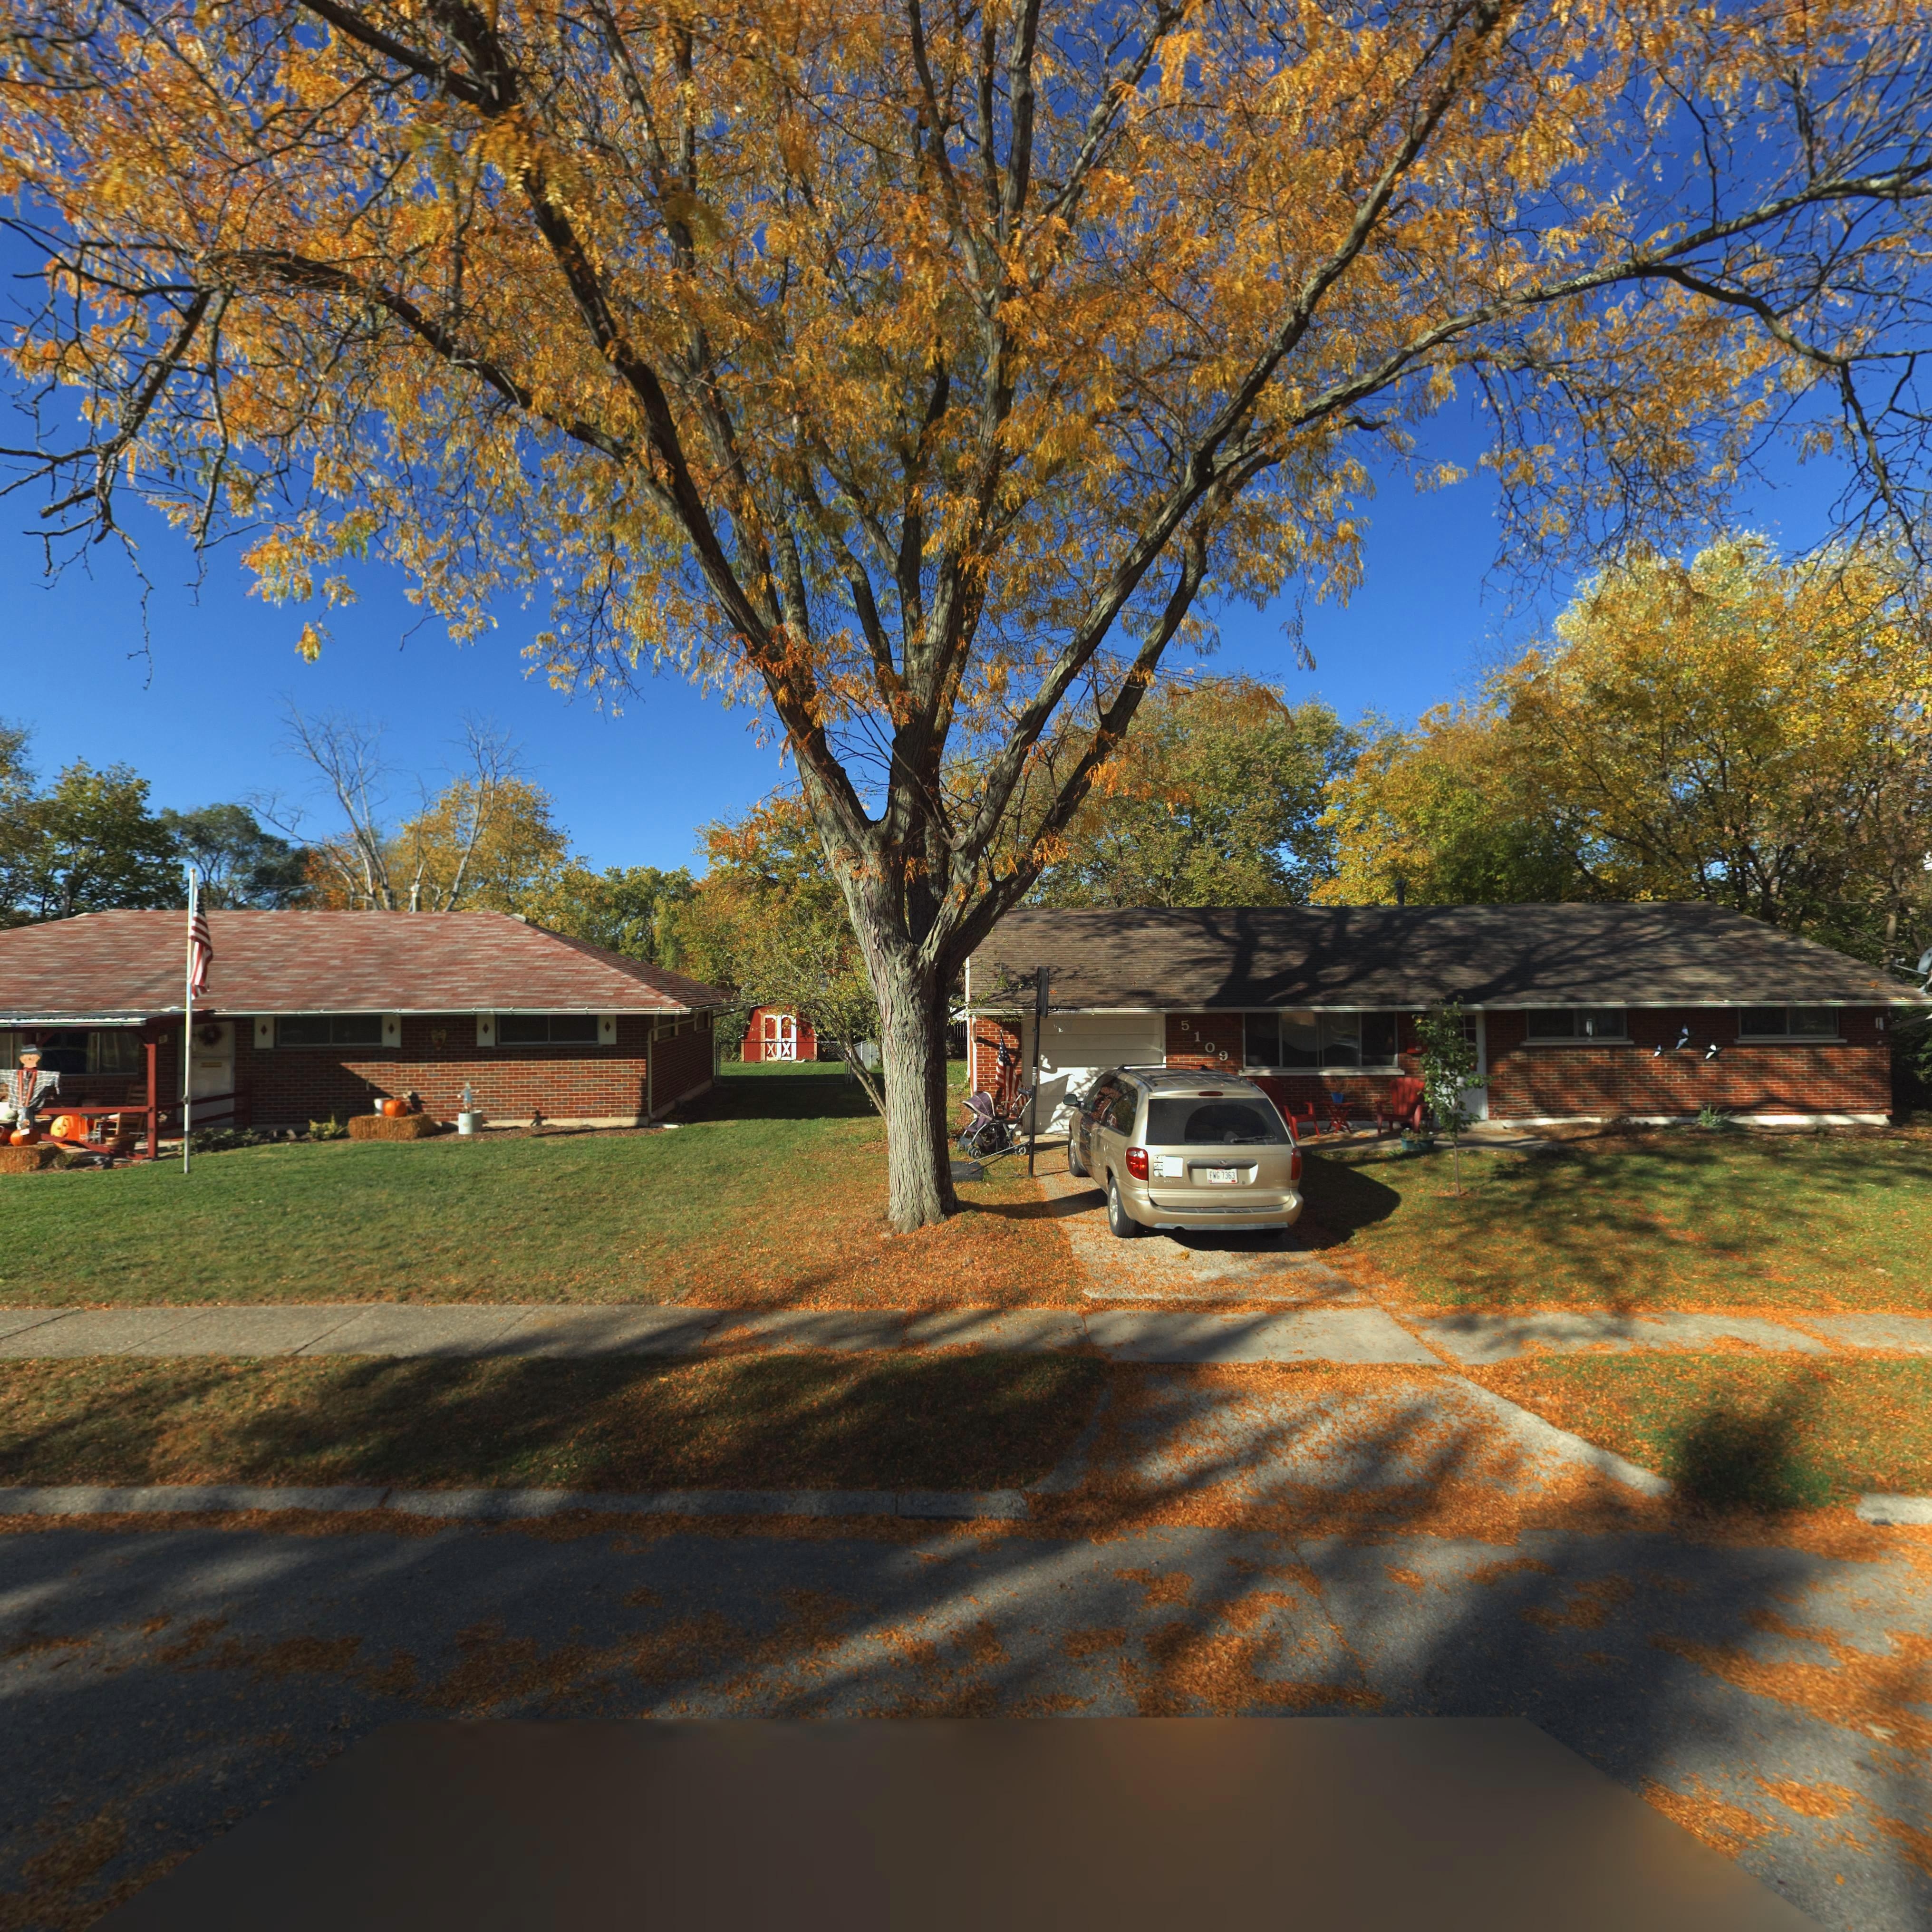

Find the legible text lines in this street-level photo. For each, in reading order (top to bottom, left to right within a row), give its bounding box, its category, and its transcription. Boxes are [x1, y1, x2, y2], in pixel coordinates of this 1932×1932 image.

[1180, 1019, 1229, 1062] StreetNumber: 5109